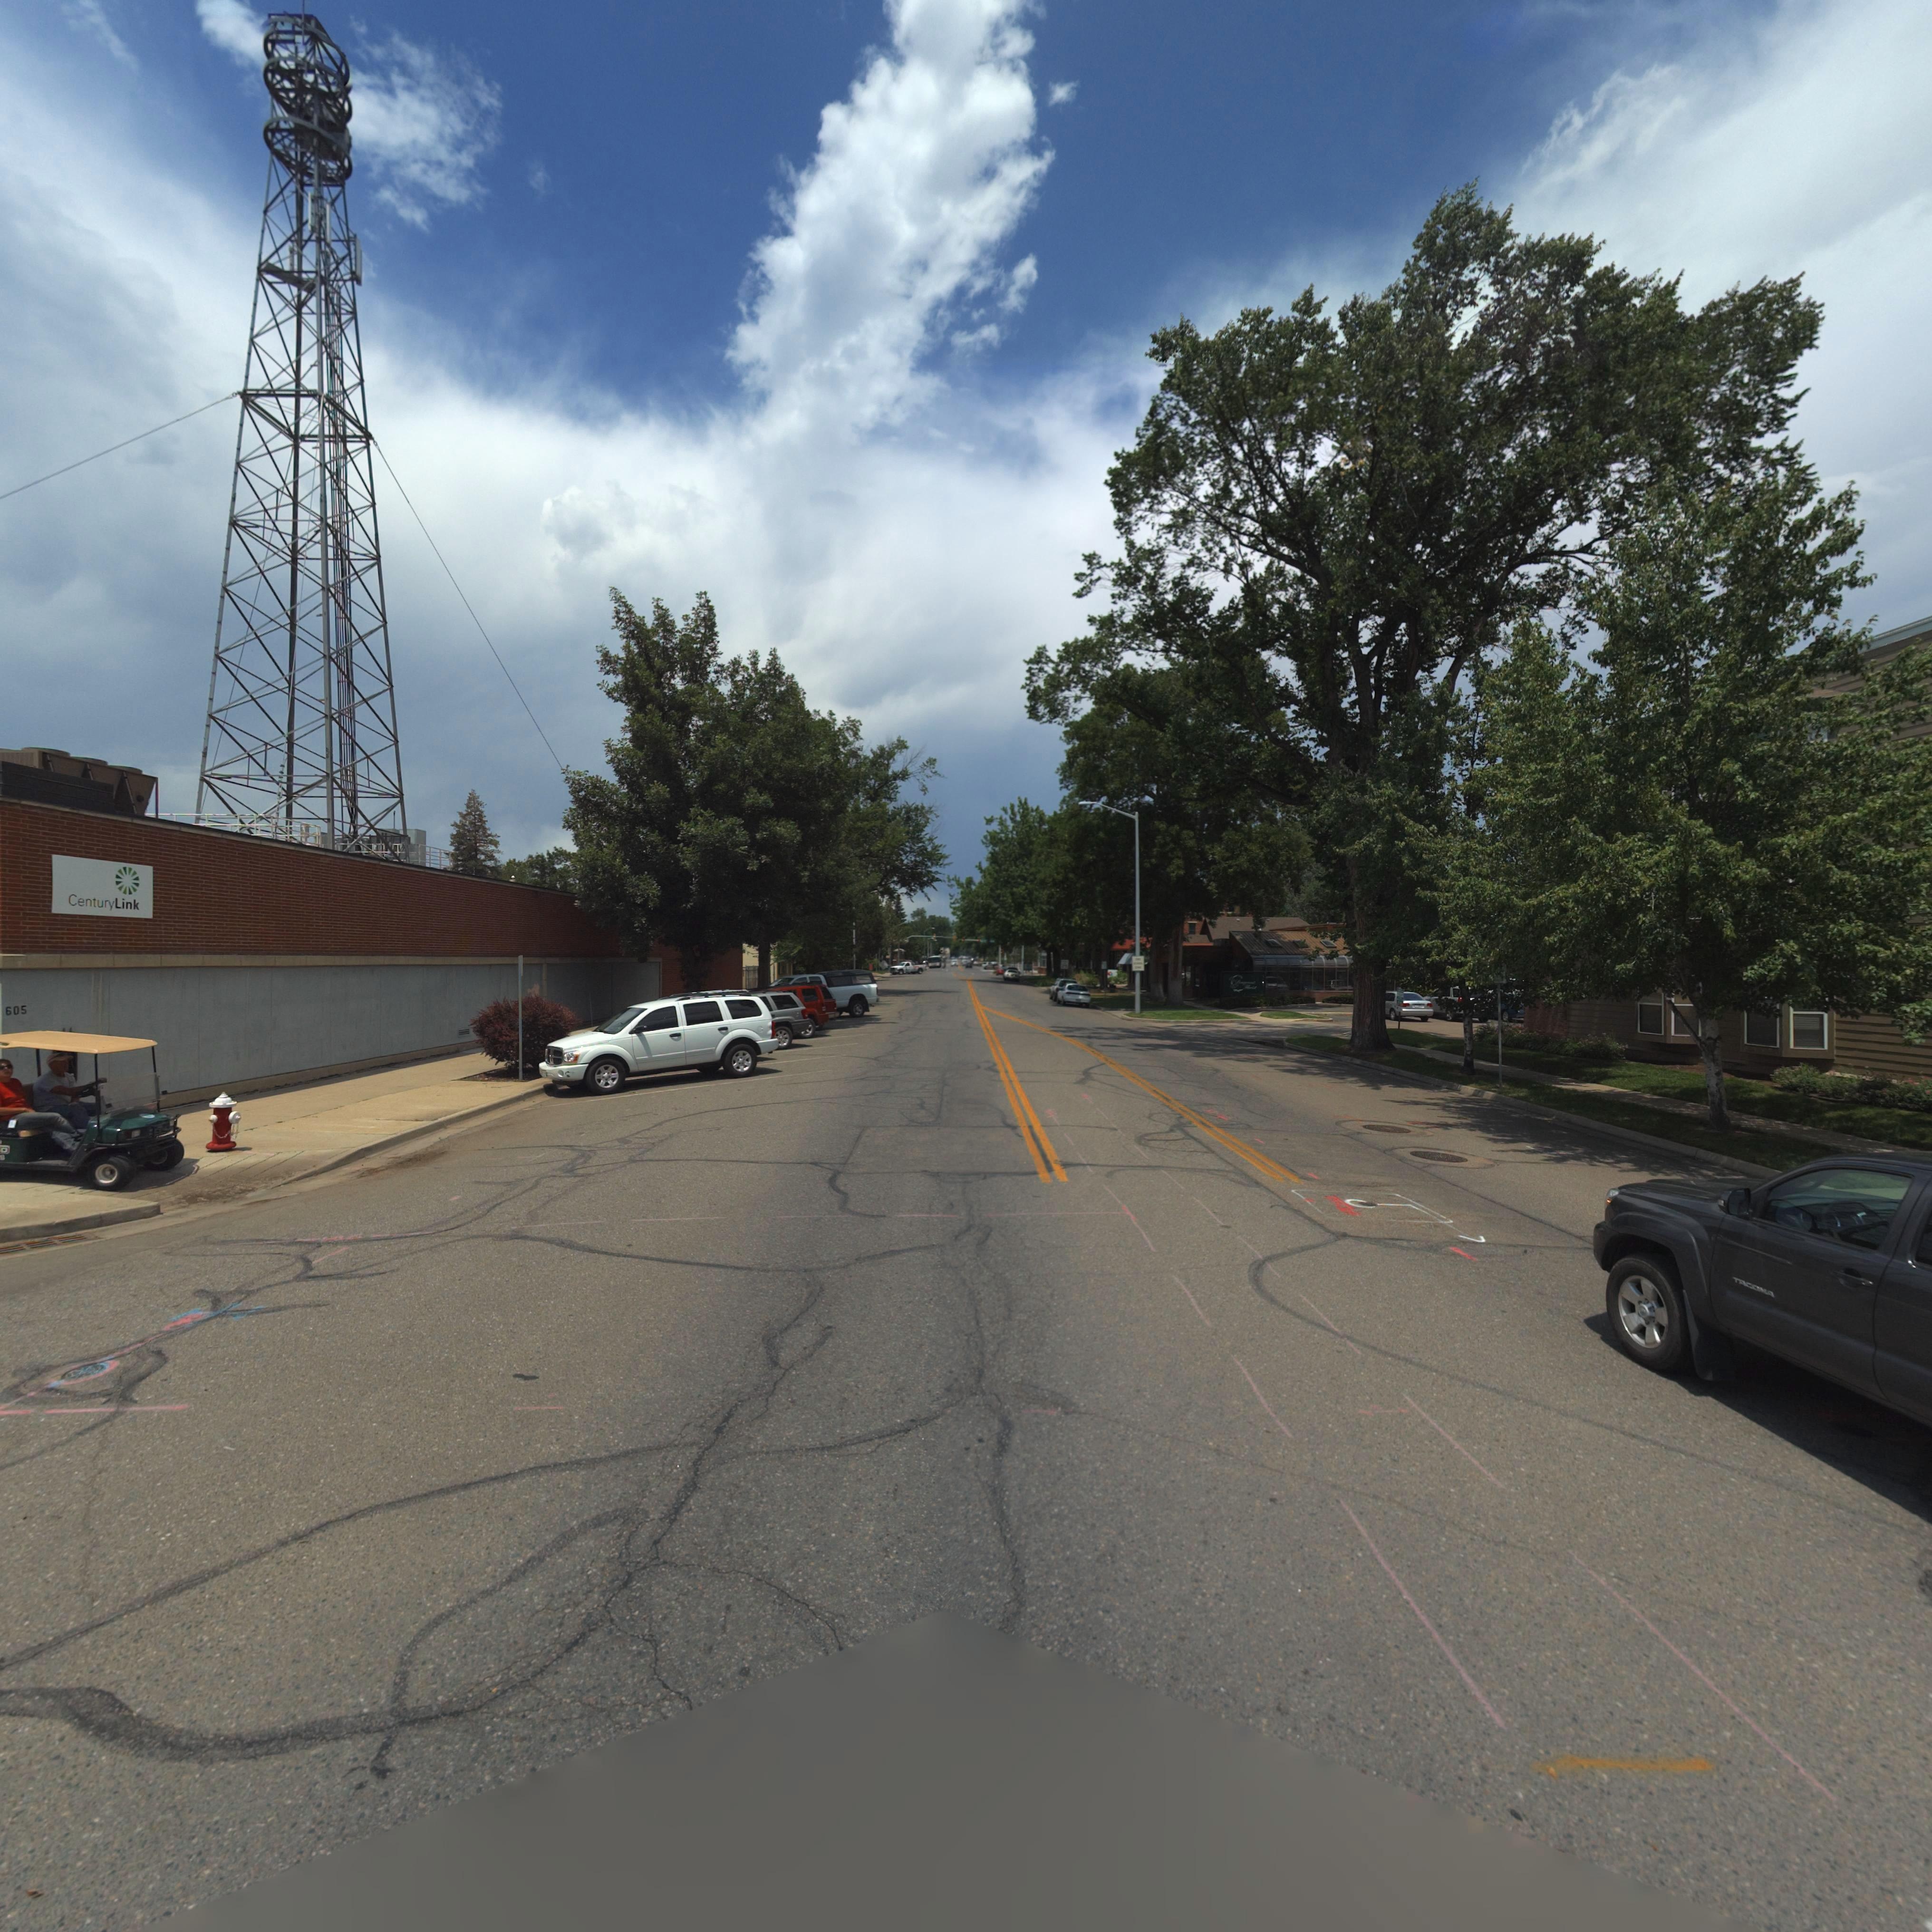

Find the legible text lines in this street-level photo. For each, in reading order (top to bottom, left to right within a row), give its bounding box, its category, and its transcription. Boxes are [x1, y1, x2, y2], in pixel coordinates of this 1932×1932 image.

[68, 893, 139, 911] BusinessName: CenturyLink
[5, 1005, 27, 1016] StreetNumber: 605